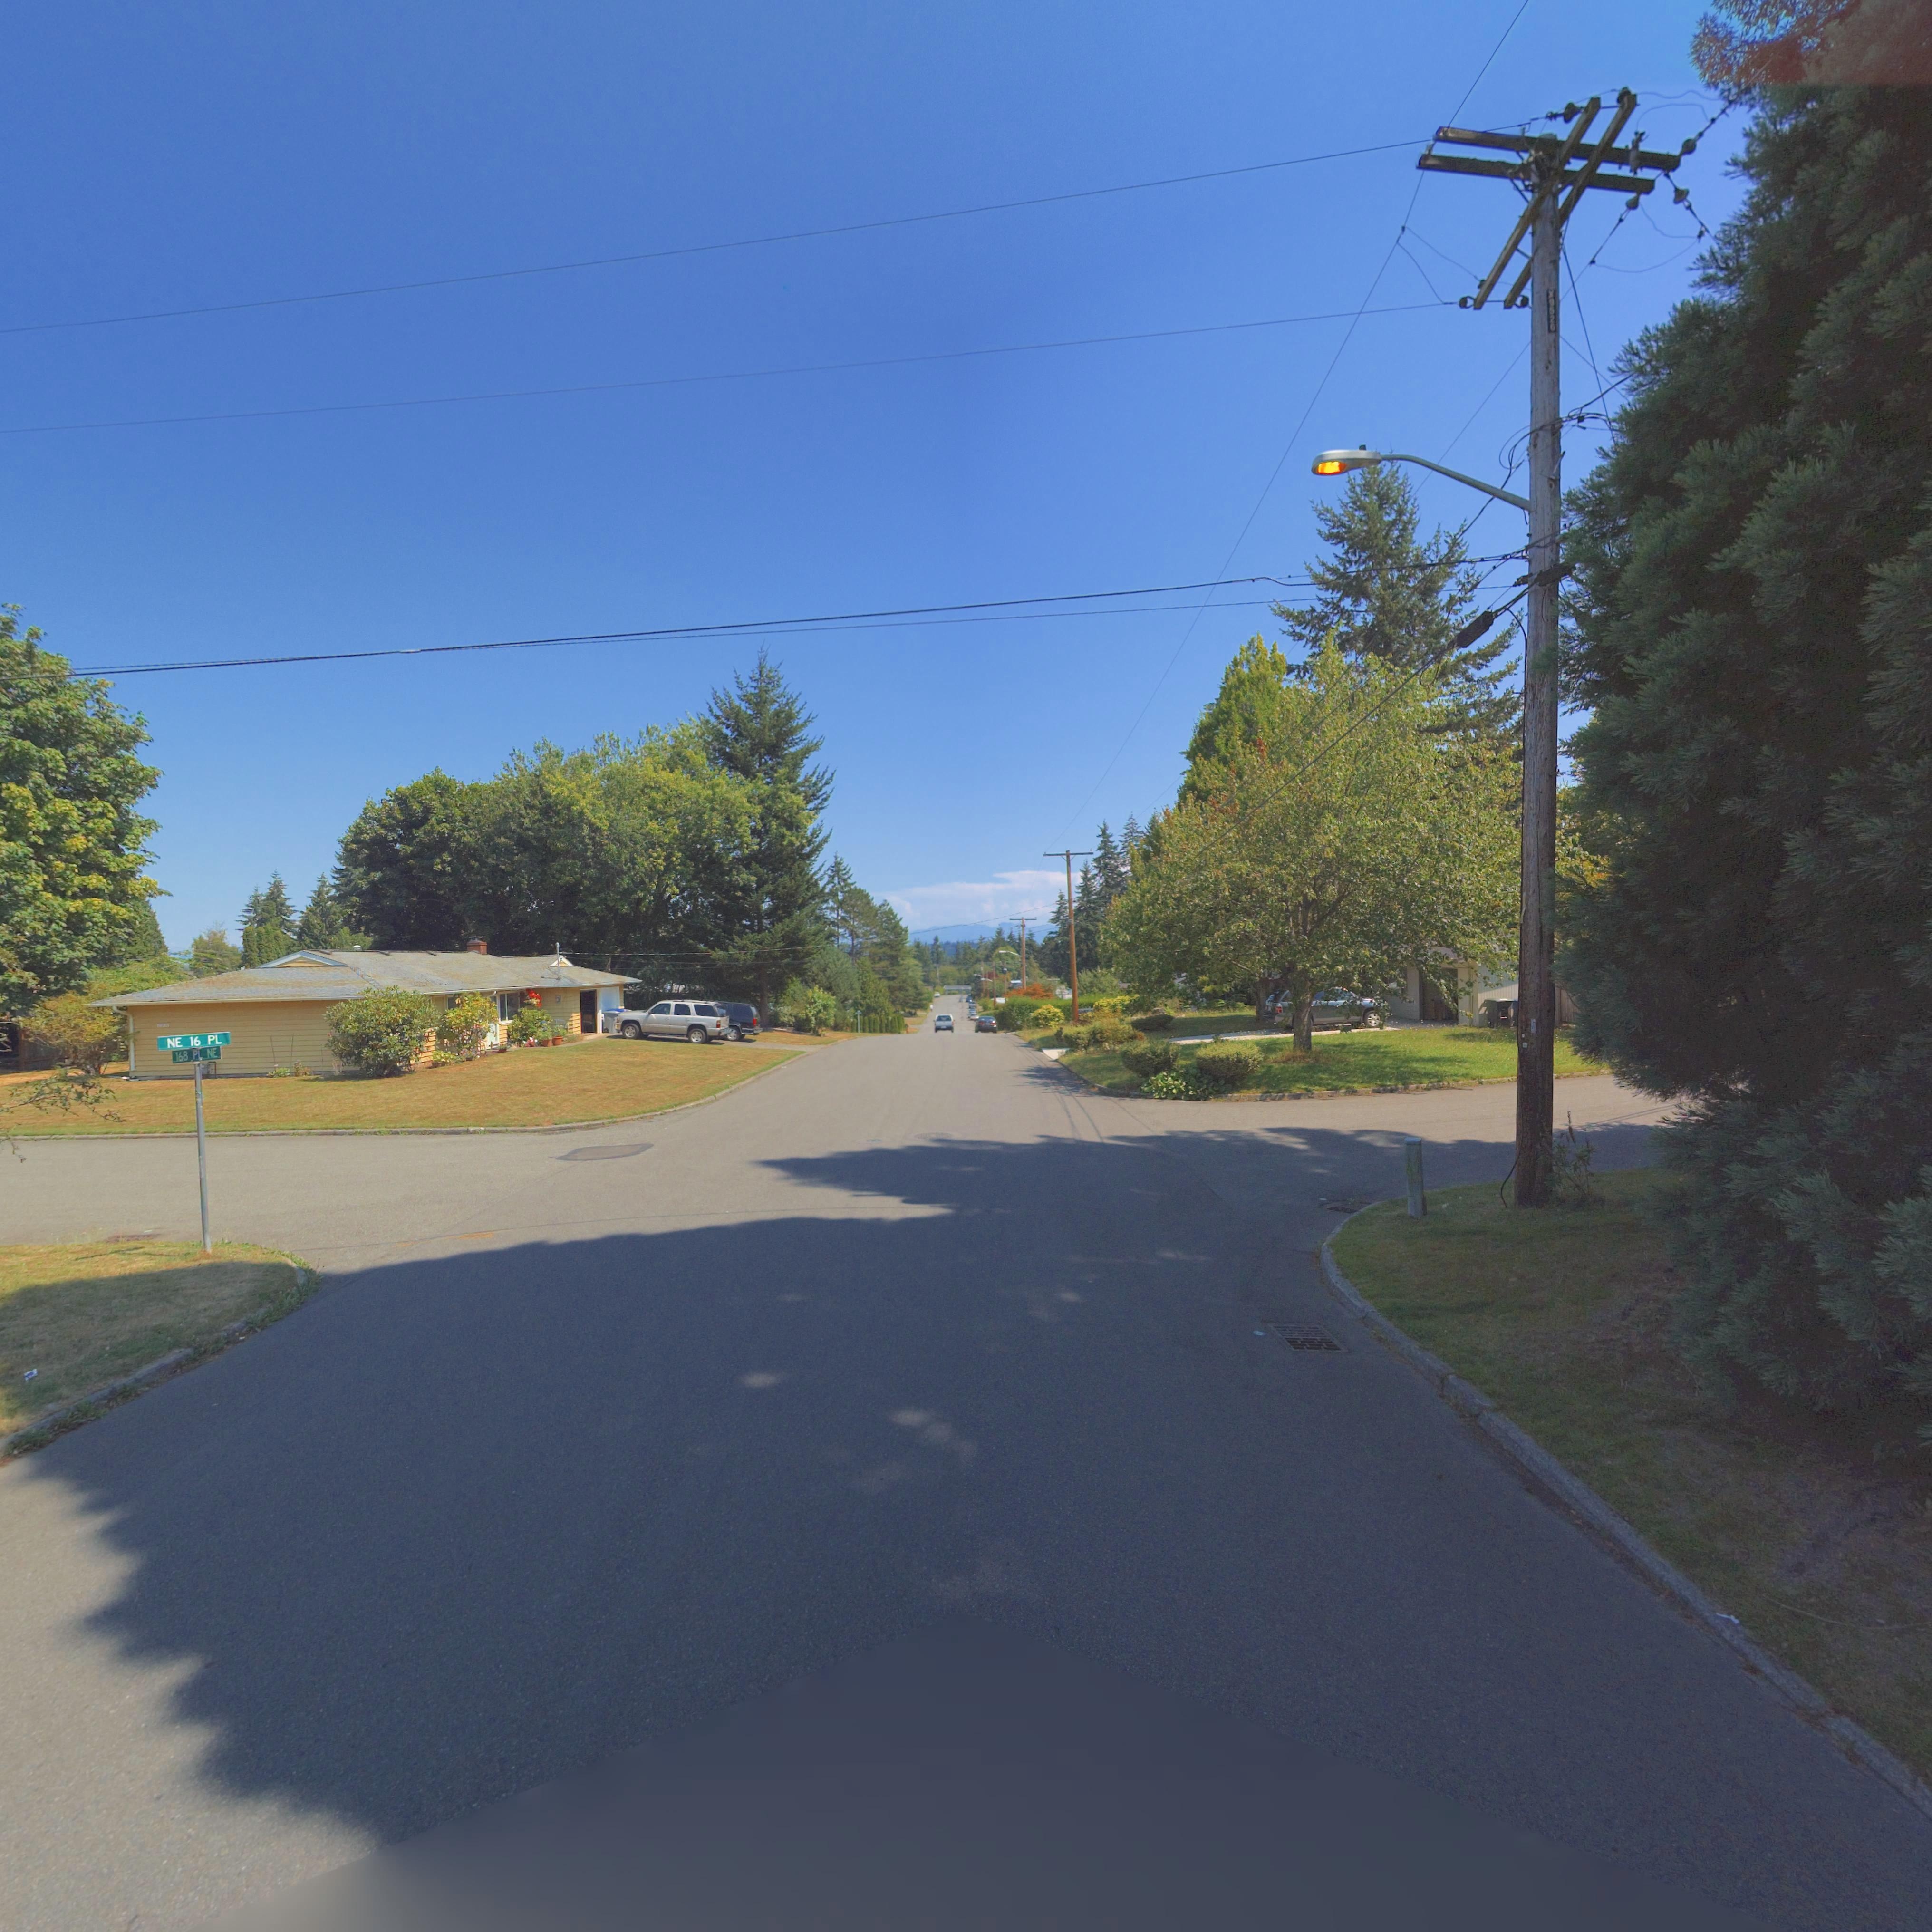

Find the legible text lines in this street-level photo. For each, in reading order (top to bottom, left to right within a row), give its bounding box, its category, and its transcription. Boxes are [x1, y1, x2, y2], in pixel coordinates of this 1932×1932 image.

[167, 1034, 222, 1048] StreetName: NE 16 PL
[175, 1047, 217, 1062] StreetName: 168 PL NE